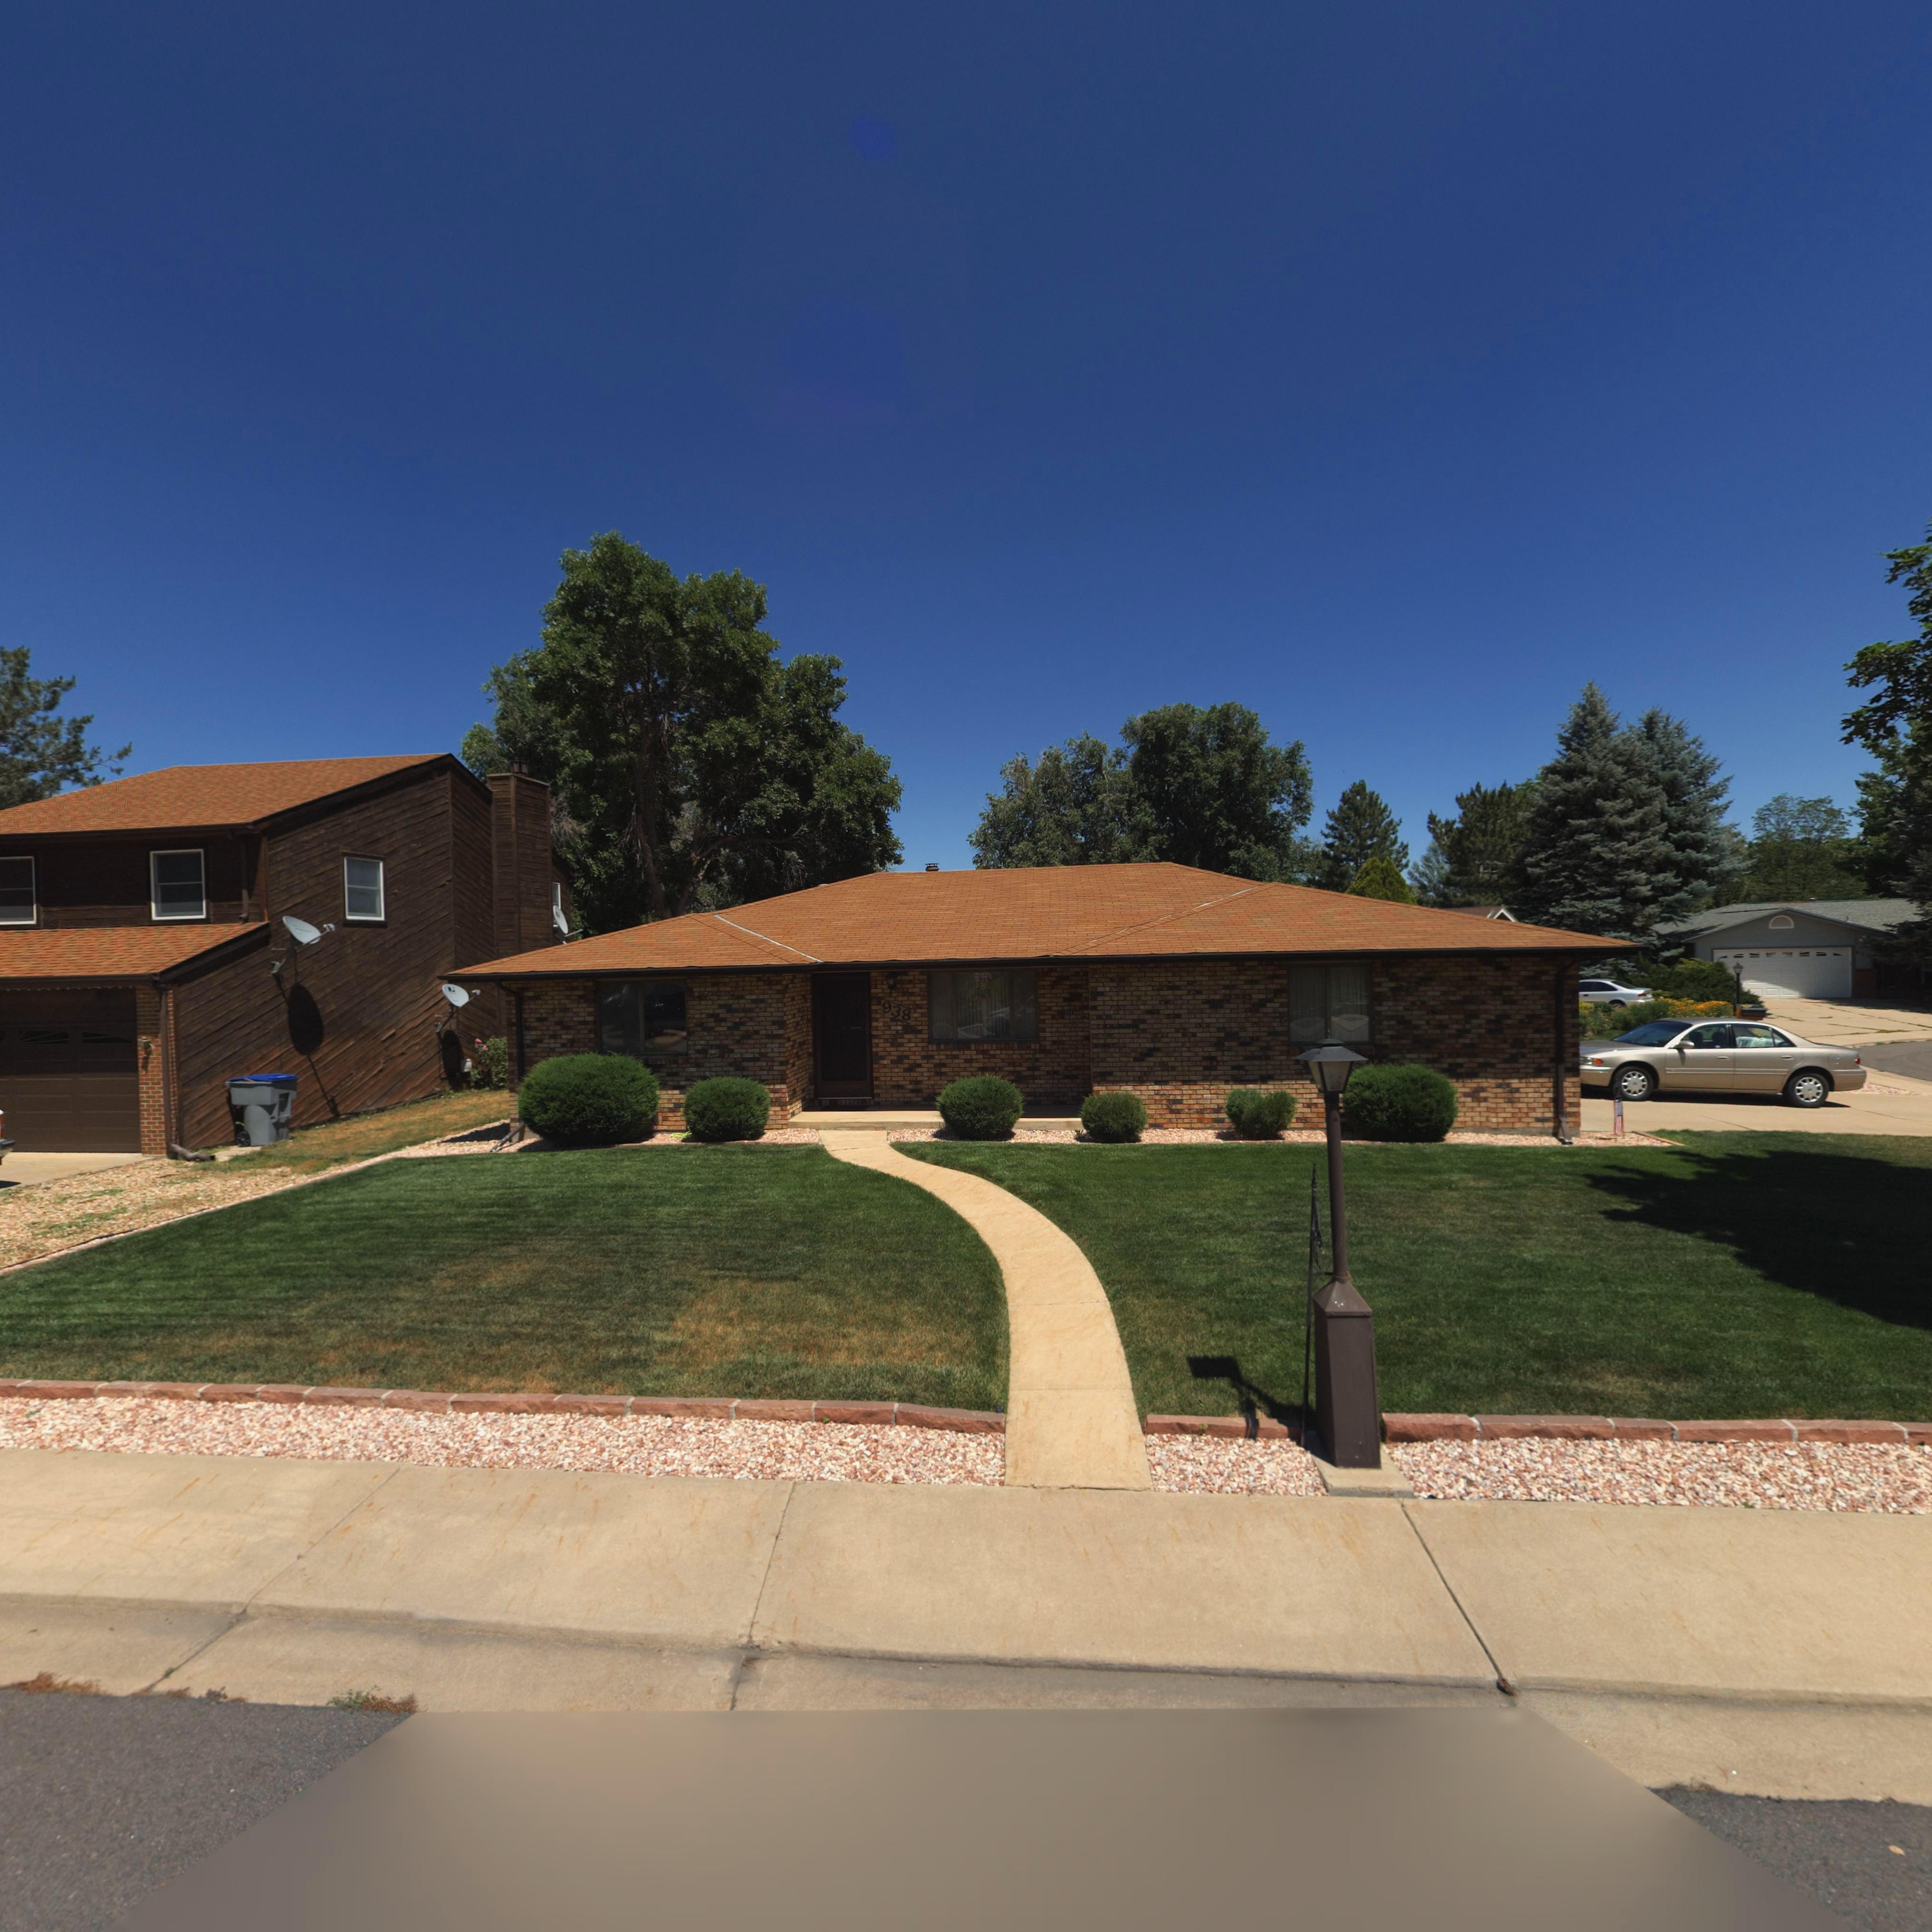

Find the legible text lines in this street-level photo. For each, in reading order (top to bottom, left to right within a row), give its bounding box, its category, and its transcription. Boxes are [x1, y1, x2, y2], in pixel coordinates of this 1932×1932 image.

[882, 1001, 911, 1020] StreetNumber: 938